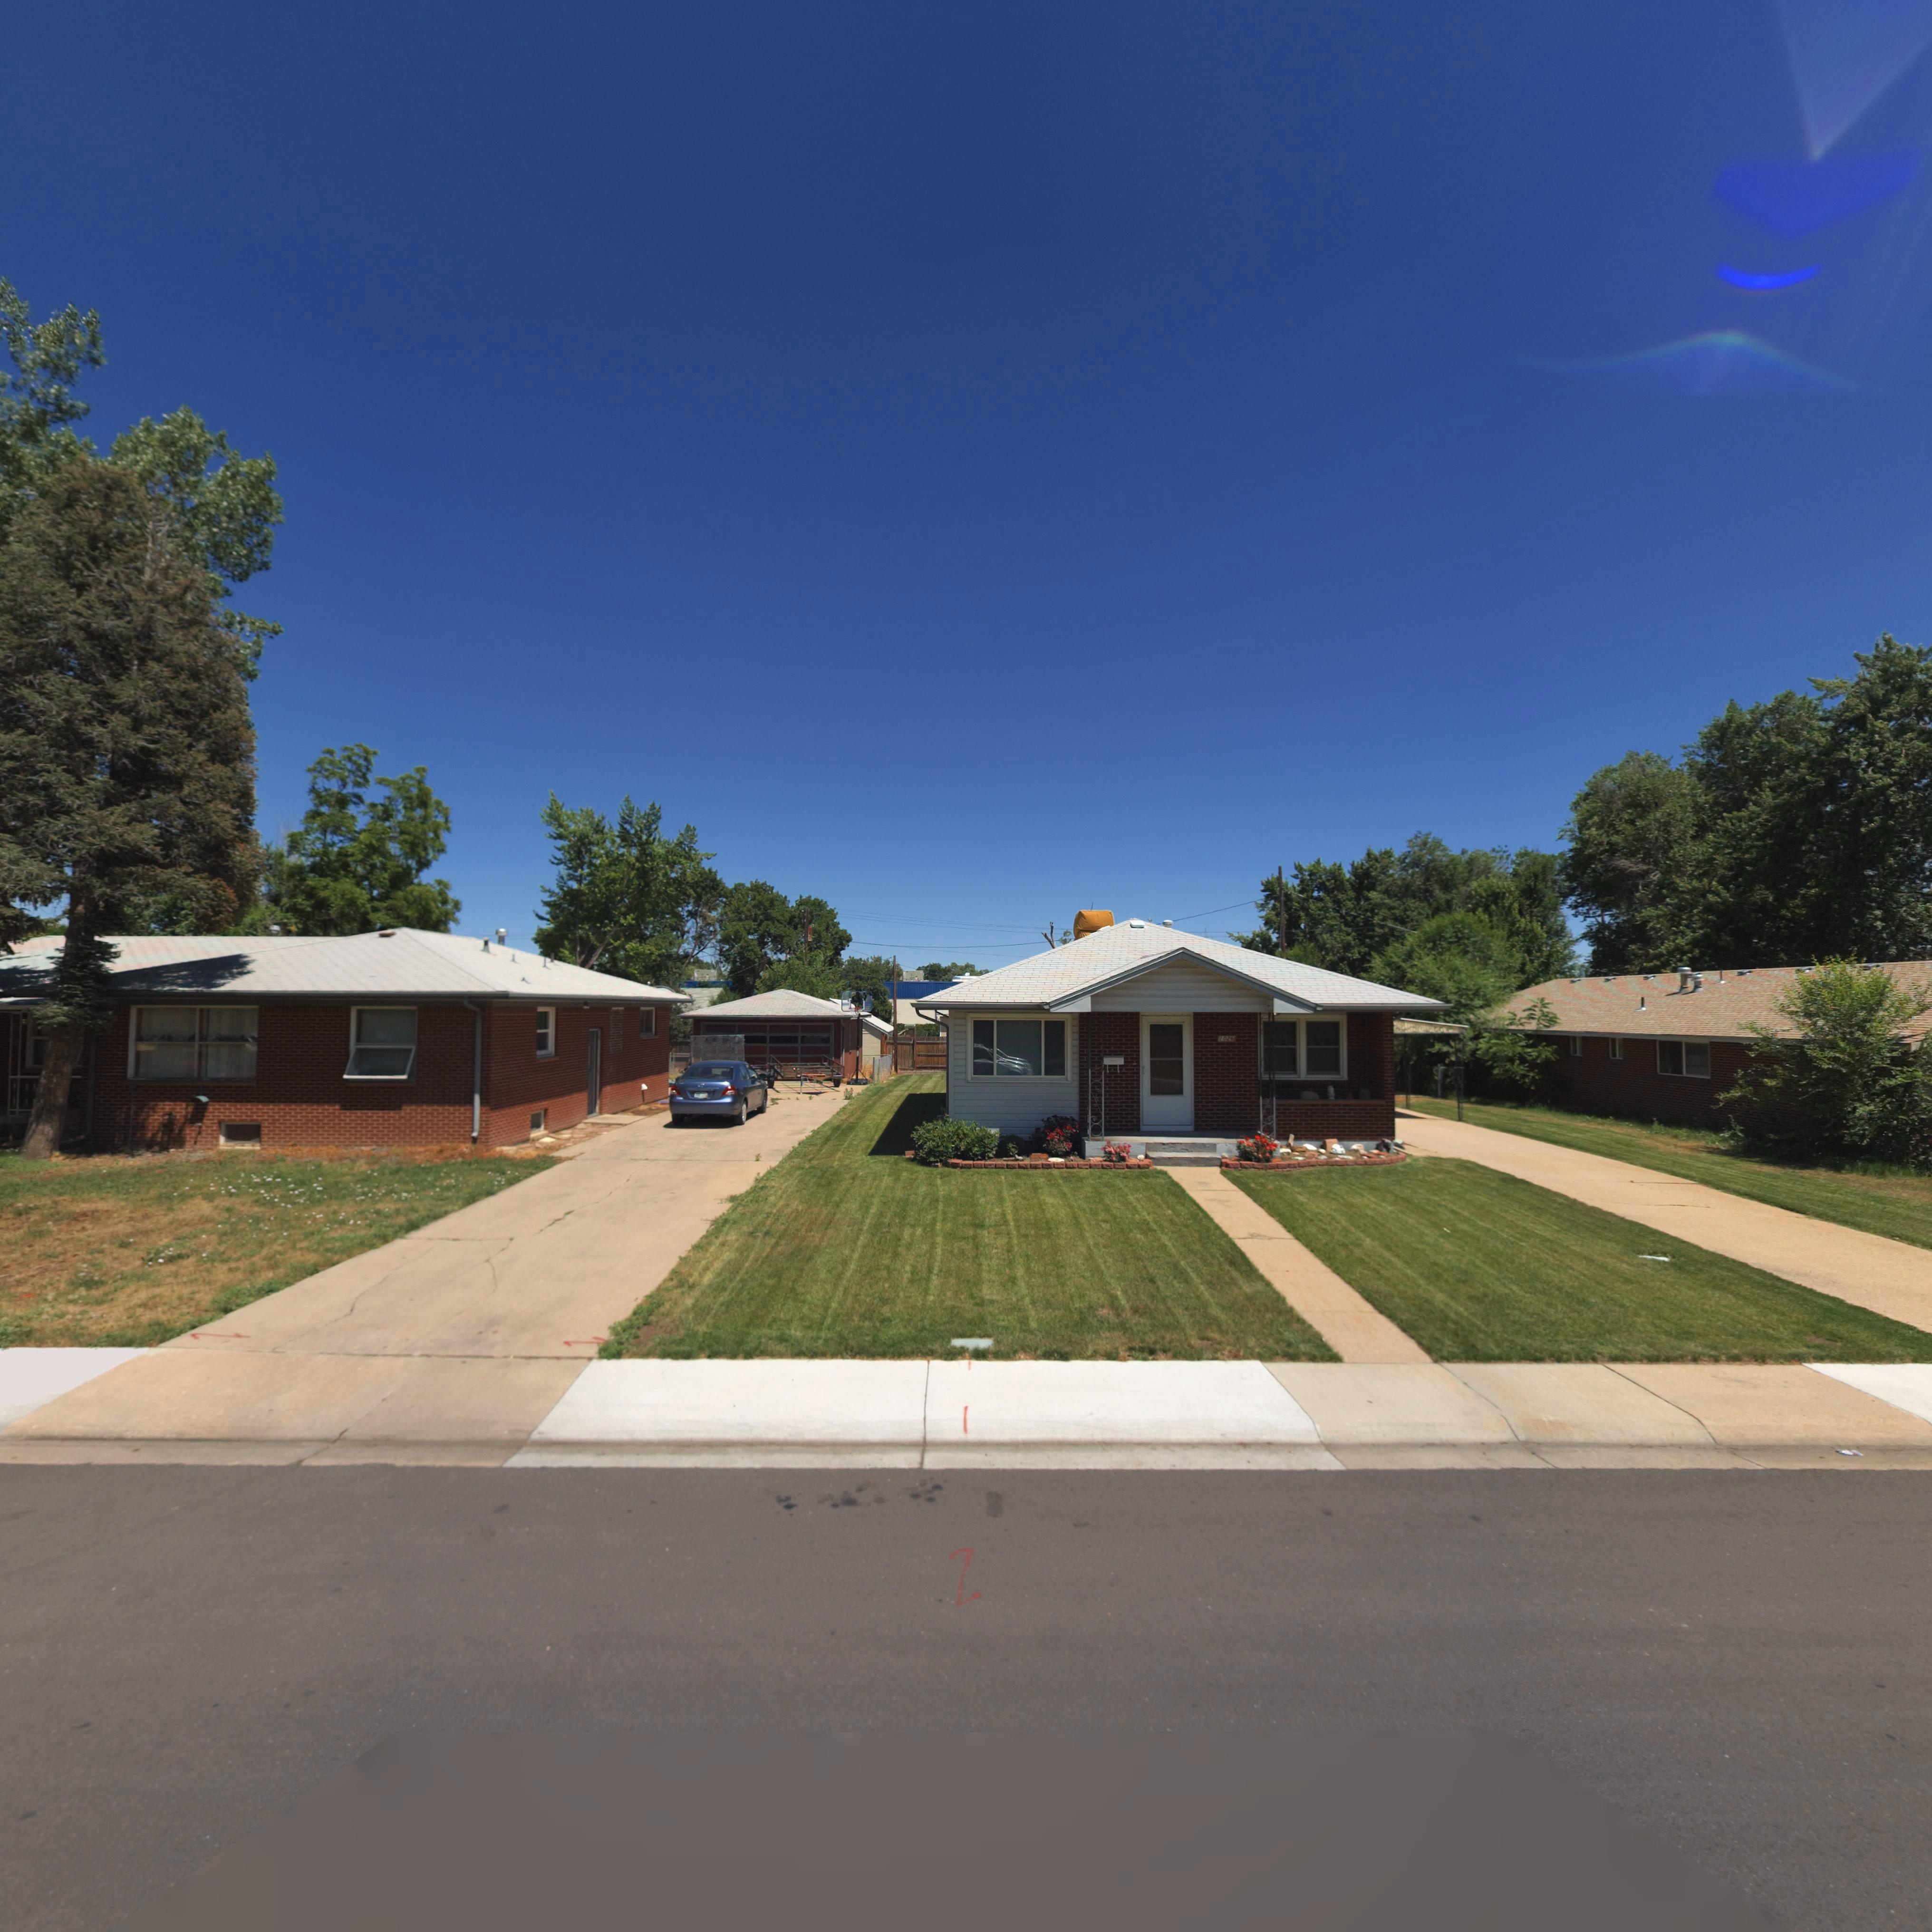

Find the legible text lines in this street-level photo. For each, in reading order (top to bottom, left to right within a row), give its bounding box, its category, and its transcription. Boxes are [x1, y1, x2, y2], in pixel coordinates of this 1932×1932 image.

[1219, 1035, 1235, 1041] StreetNumber: 1026